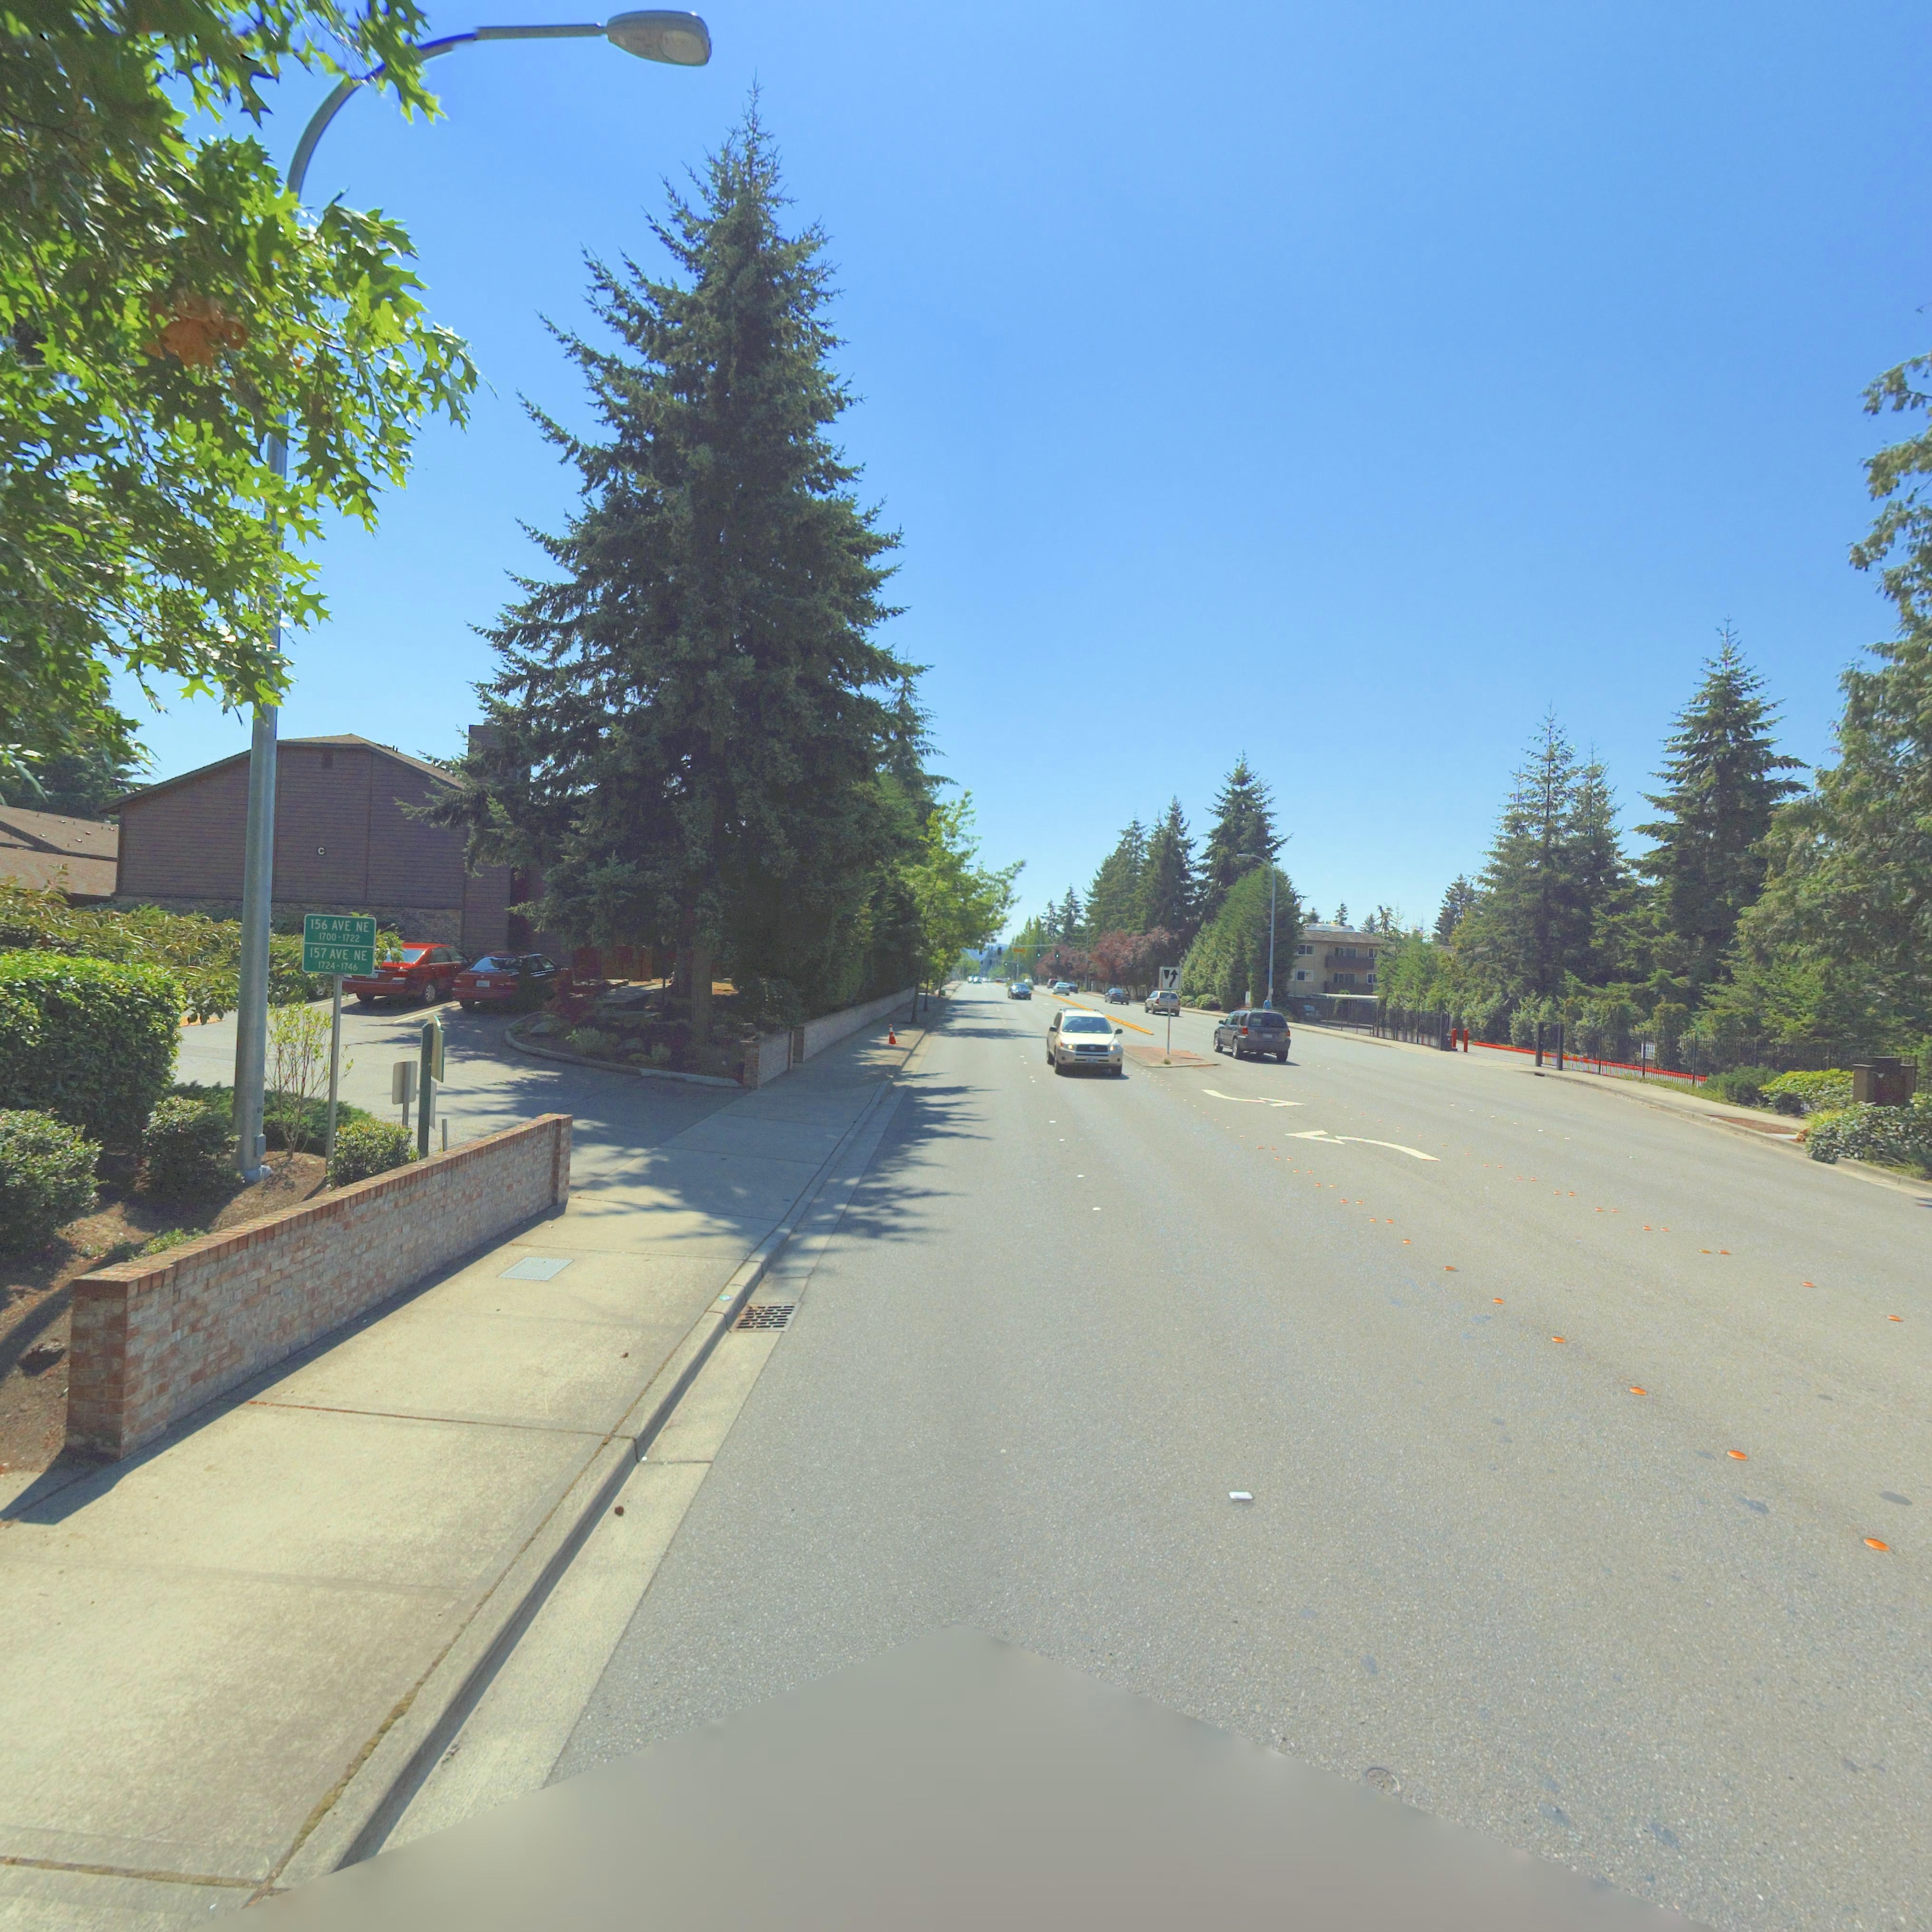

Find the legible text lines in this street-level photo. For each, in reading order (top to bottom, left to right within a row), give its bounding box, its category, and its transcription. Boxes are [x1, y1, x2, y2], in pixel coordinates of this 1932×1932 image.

[310, 918, 369, 932] StreetName: 156 AVE NE
[319, 932, 359, 942] StreetNumberRange: 1700-1722
[309, 947, 367, 960] StreetName: 157 AVE NE
[318, 961, 357, 970] StreetNumberRange: 1724-1746